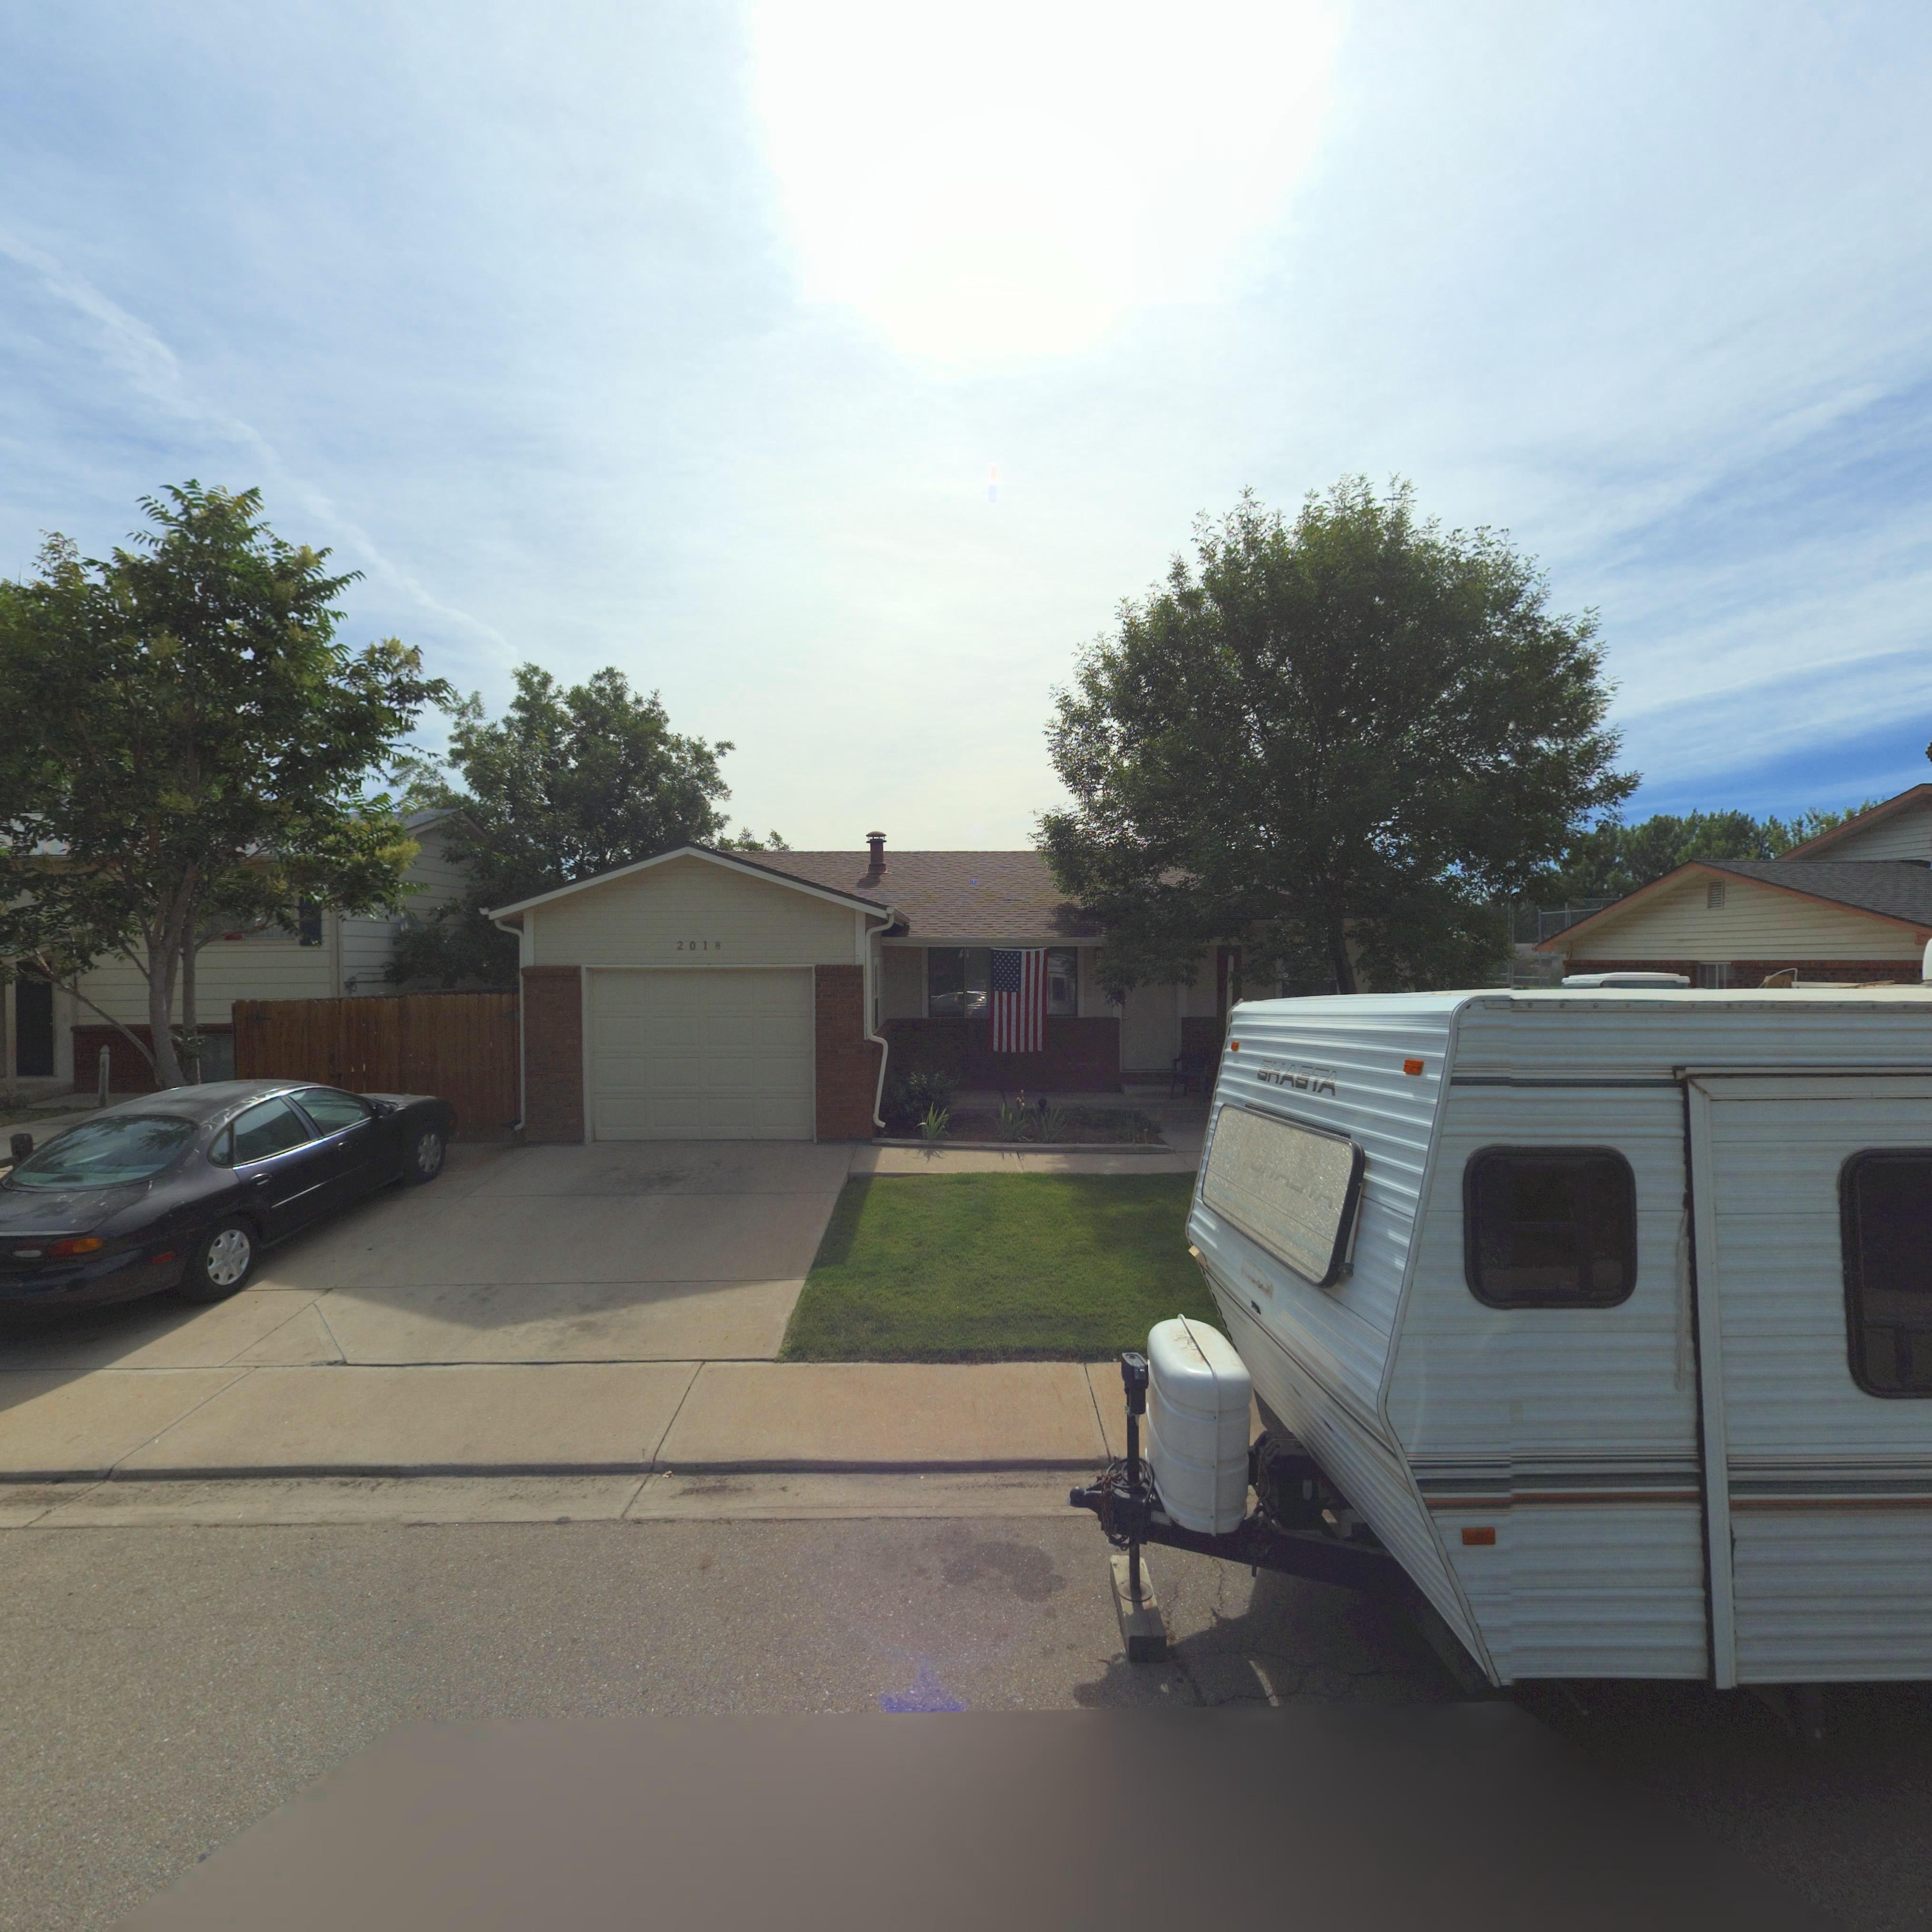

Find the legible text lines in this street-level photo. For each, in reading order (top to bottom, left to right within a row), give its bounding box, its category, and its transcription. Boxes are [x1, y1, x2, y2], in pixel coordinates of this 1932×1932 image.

[677, 940, 721, 951] StreetNumber: 2018